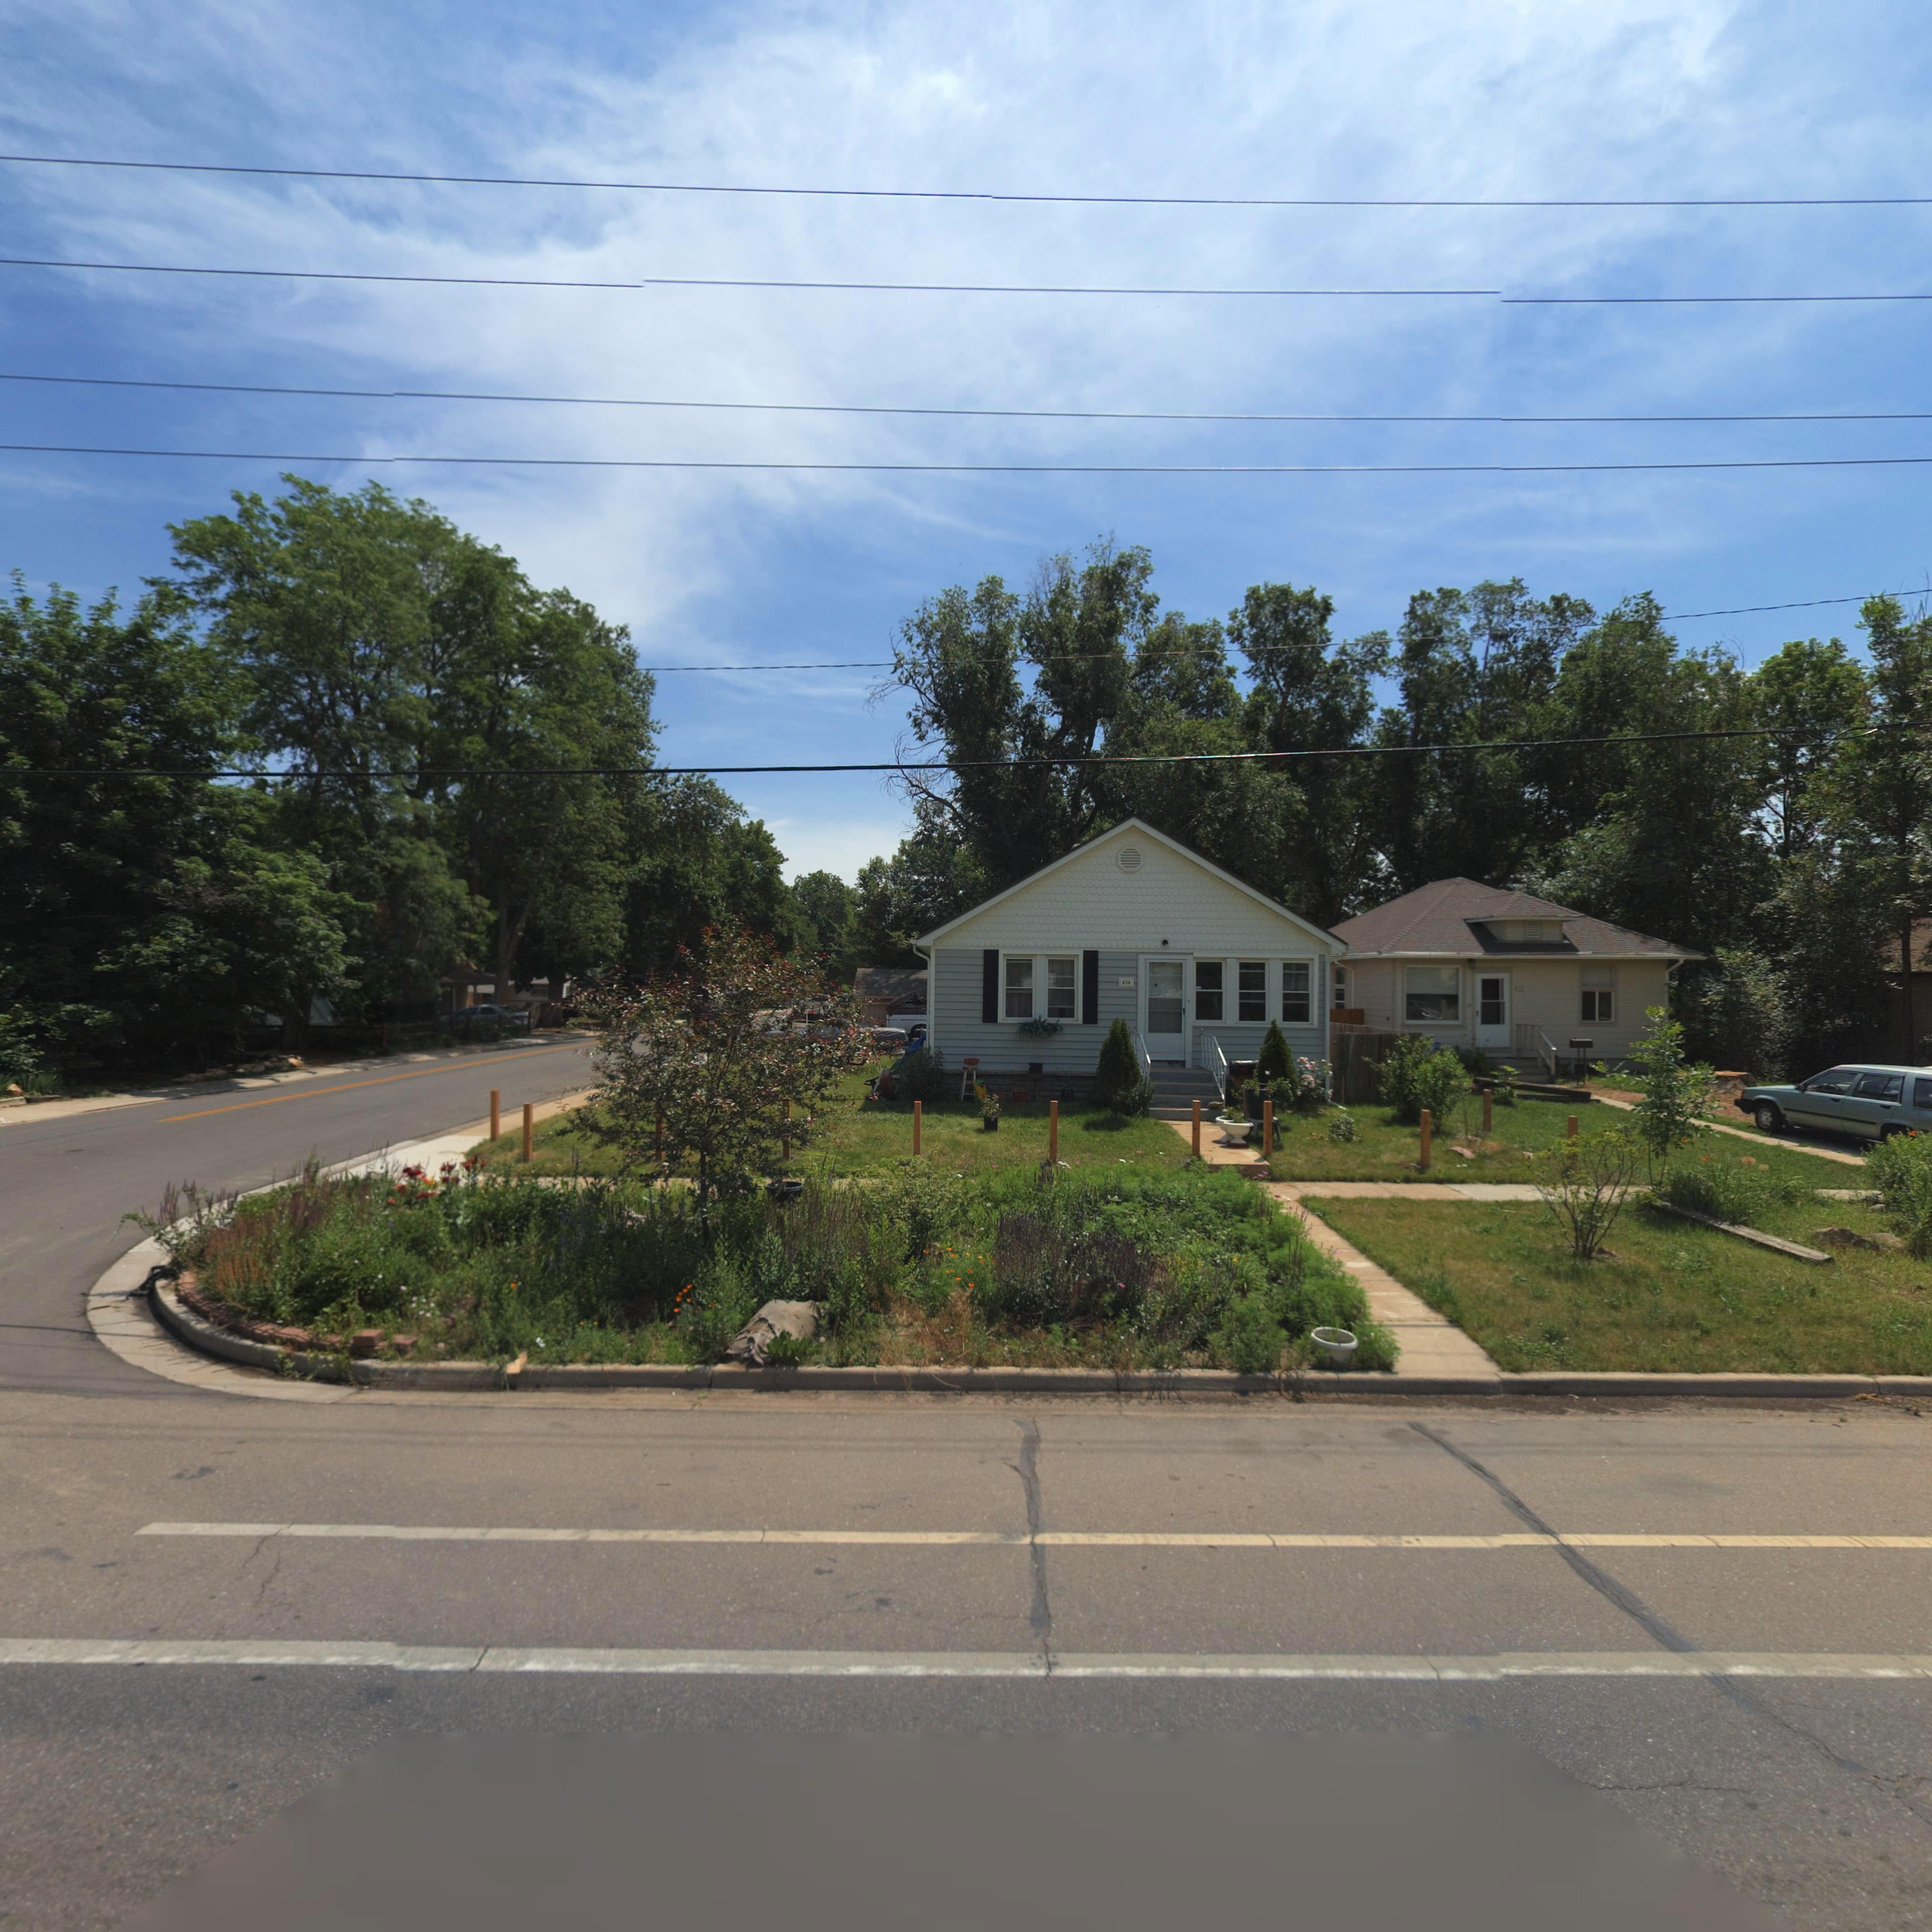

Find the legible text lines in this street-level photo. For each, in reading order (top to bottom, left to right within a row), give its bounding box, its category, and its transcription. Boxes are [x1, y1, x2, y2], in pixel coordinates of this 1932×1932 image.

[1121, 979, 1130, 985] StreetNumber: 434
[1513, 985, 1525, 993] StreetNumber: 432